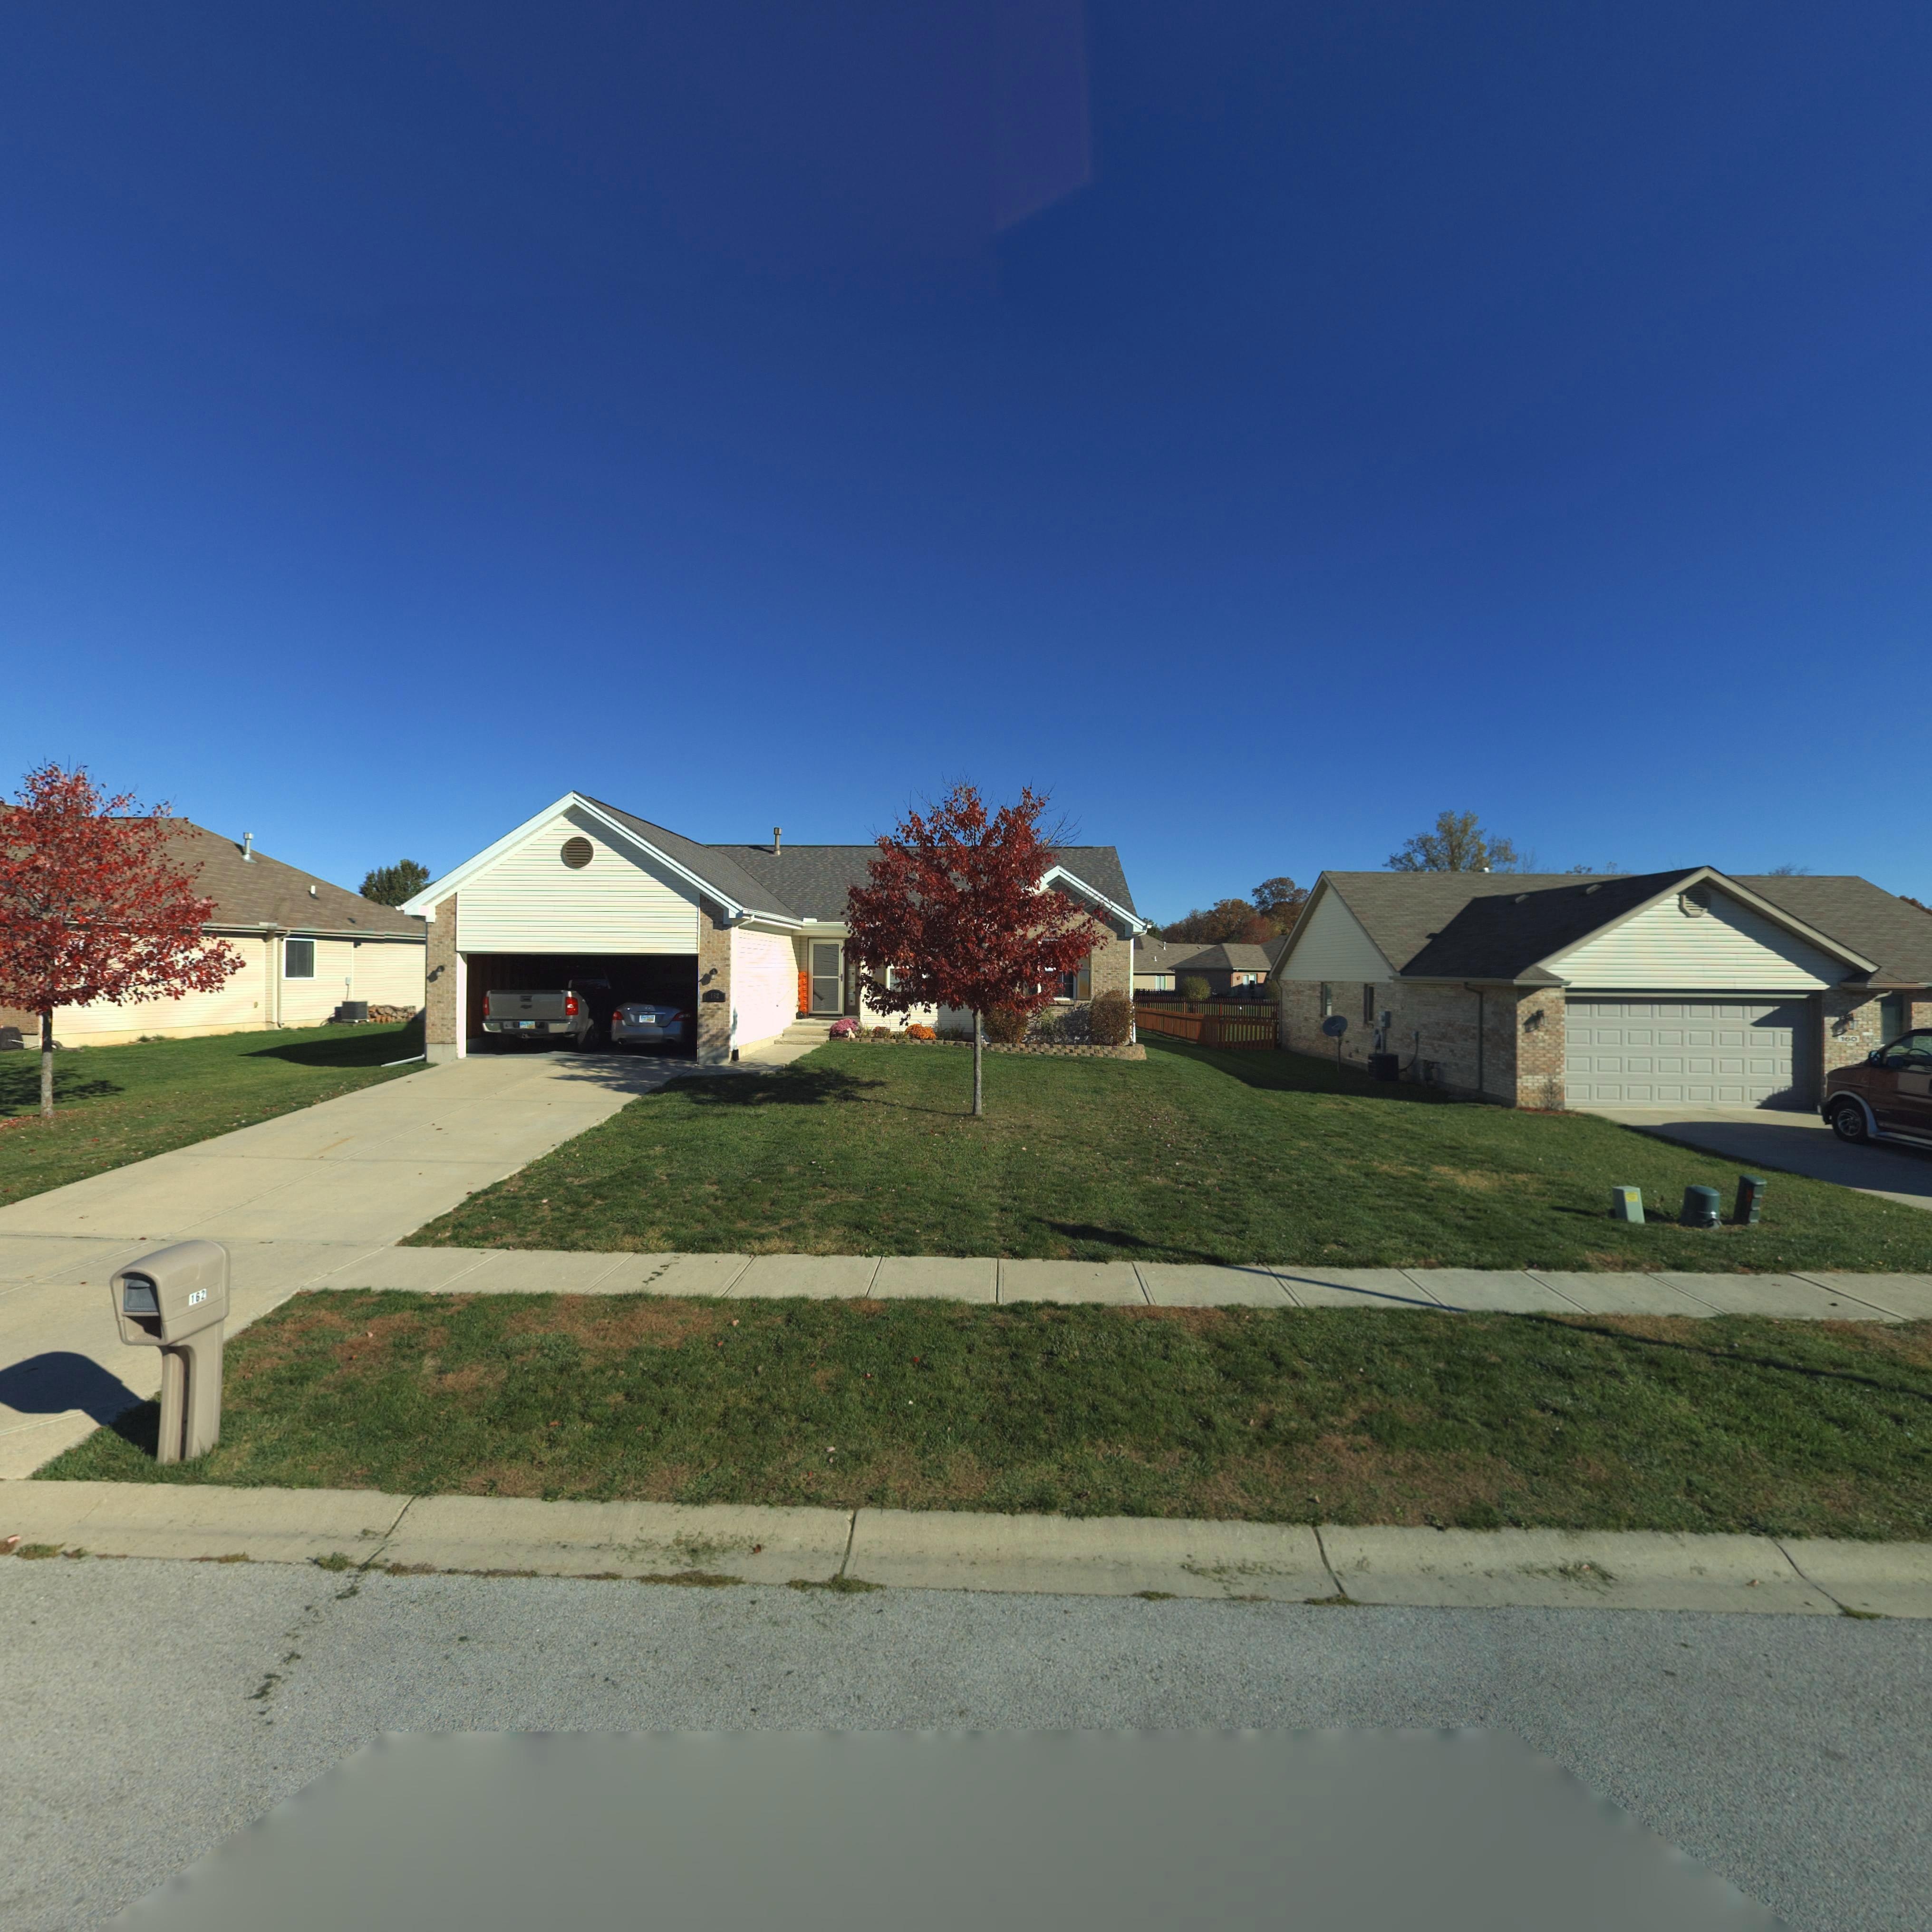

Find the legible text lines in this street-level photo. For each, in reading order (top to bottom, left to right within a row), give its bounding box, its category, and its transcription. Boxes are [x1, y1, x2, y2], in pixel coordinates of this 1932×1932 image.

[710, 991, 719, 998] StreetNumber: 162
[191, 1289, 206, 1304] StreetNumber: 162